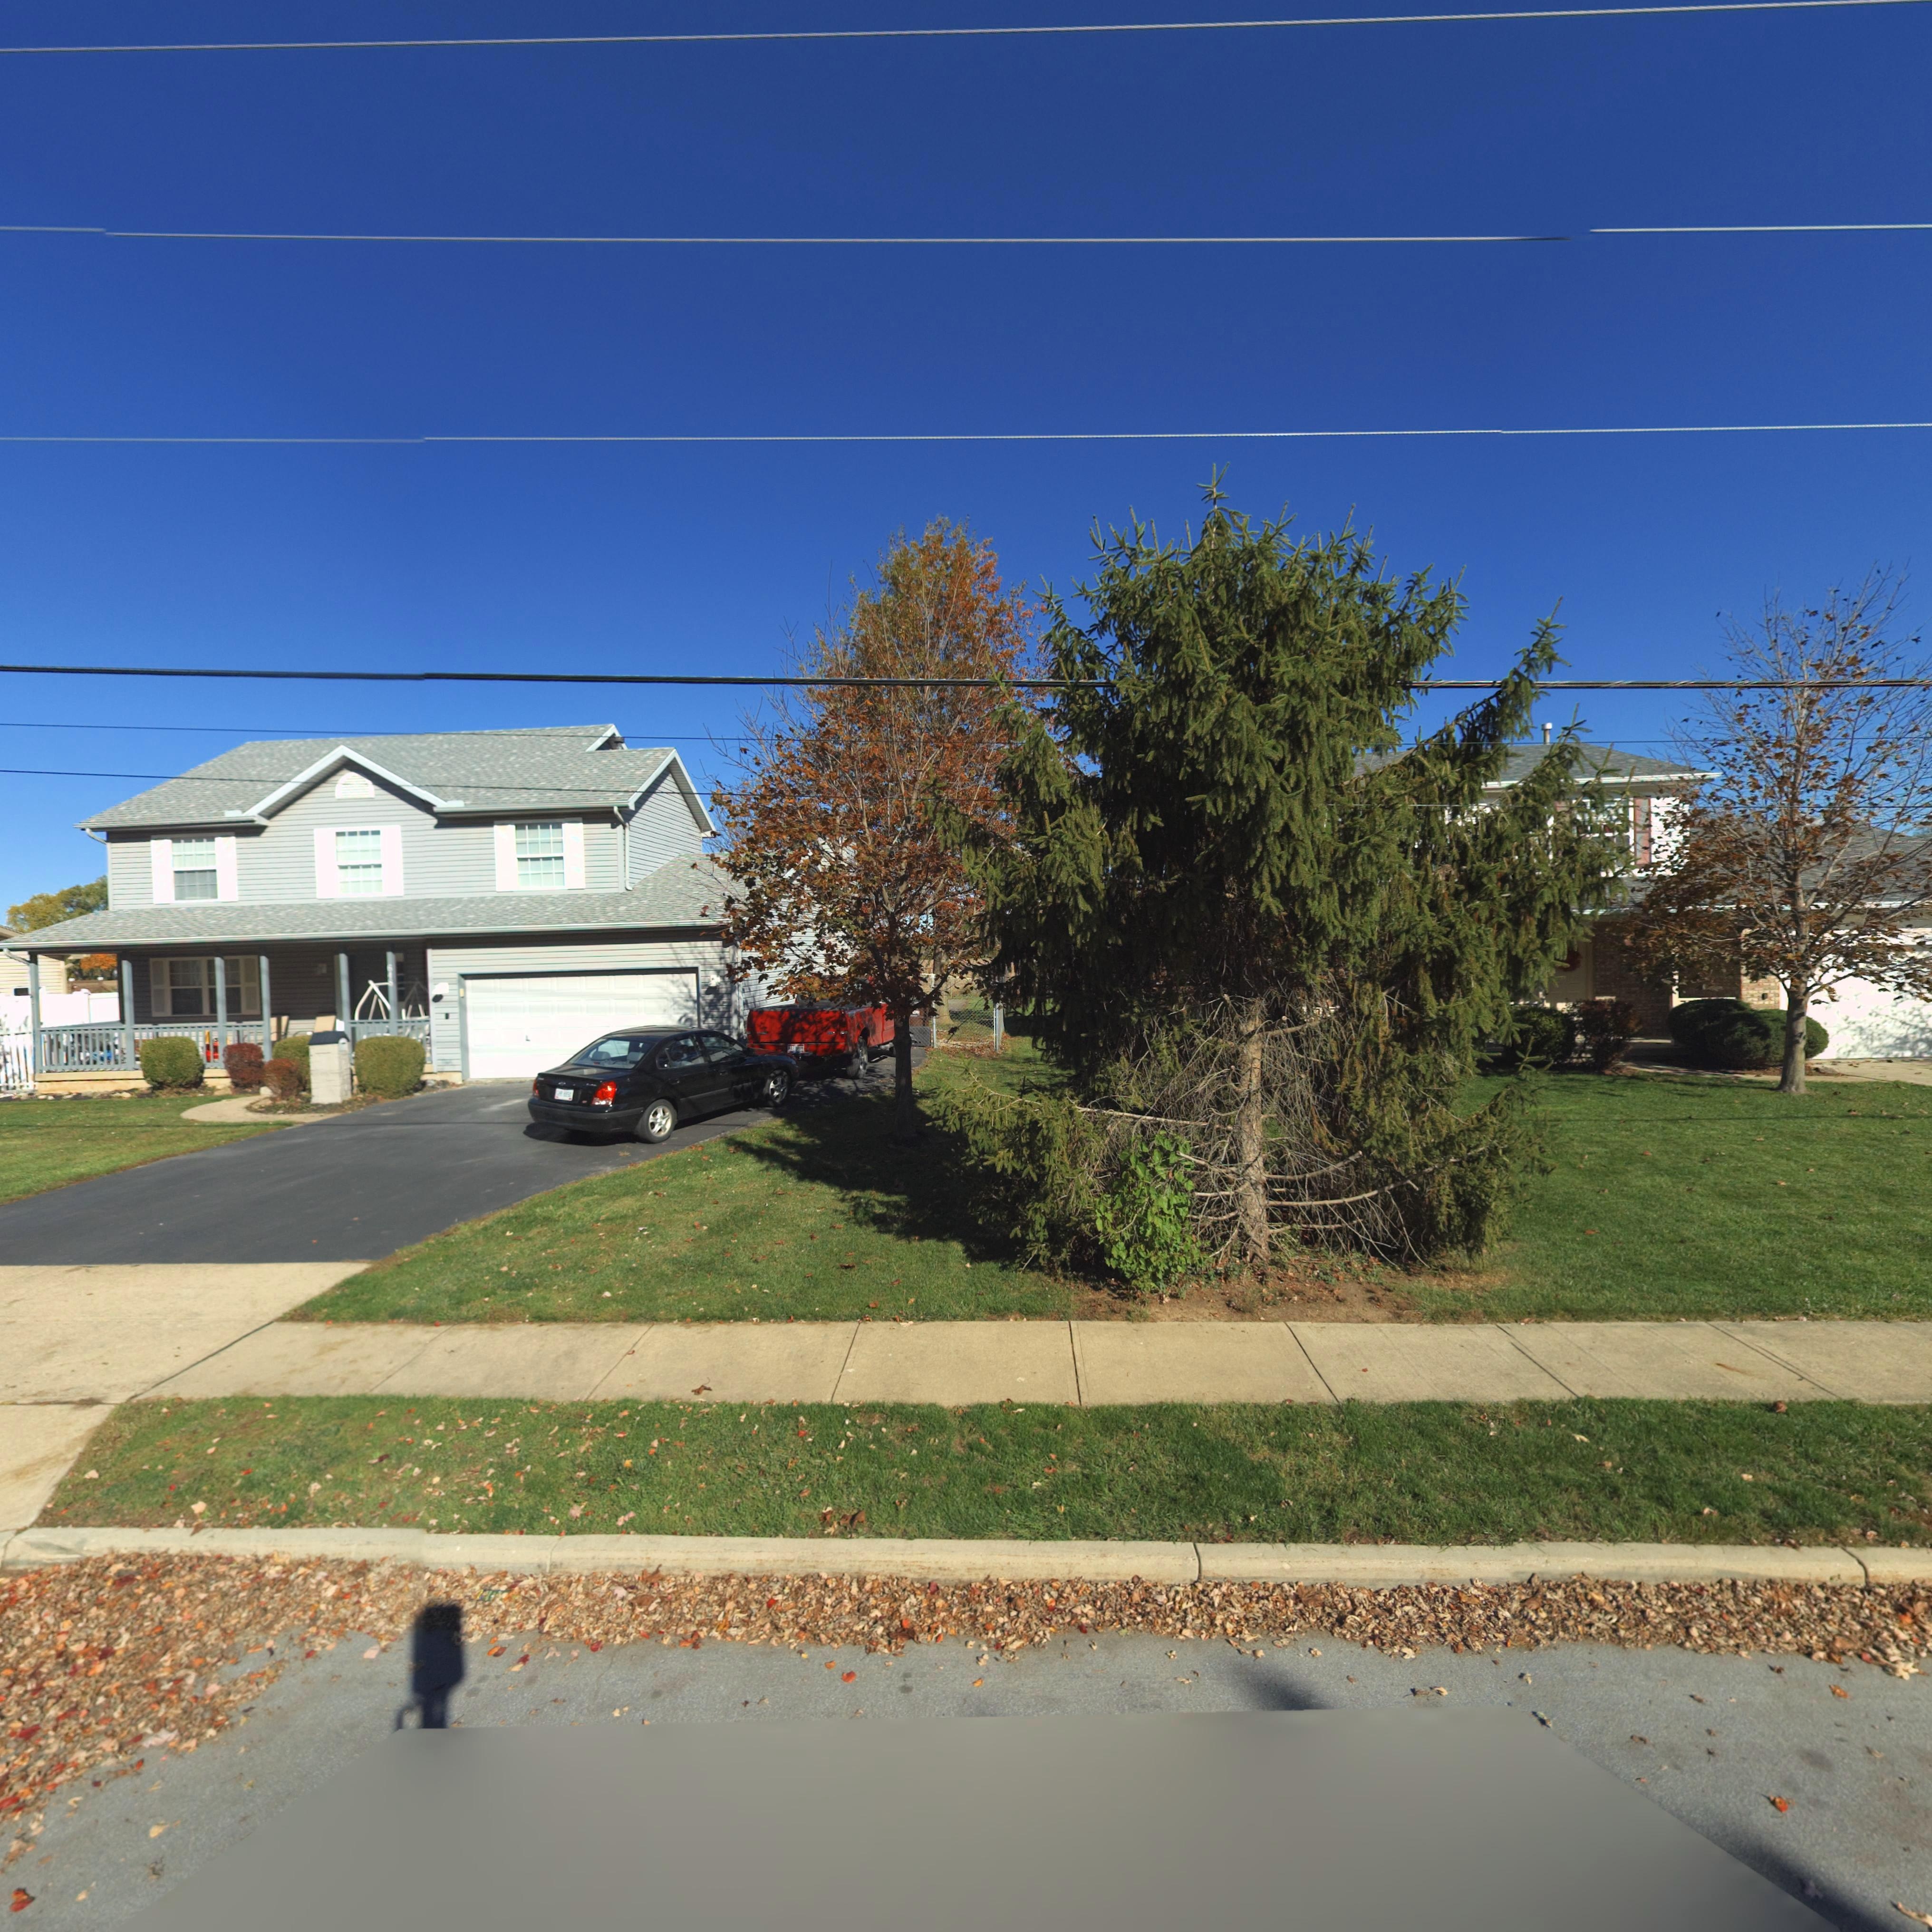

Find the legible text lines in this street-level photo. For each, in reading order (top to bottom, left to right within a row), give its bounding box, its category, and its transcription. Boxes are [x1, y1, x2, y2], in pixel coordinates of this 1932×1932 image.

[386, 964, 394, 986] StreetNumber: 618